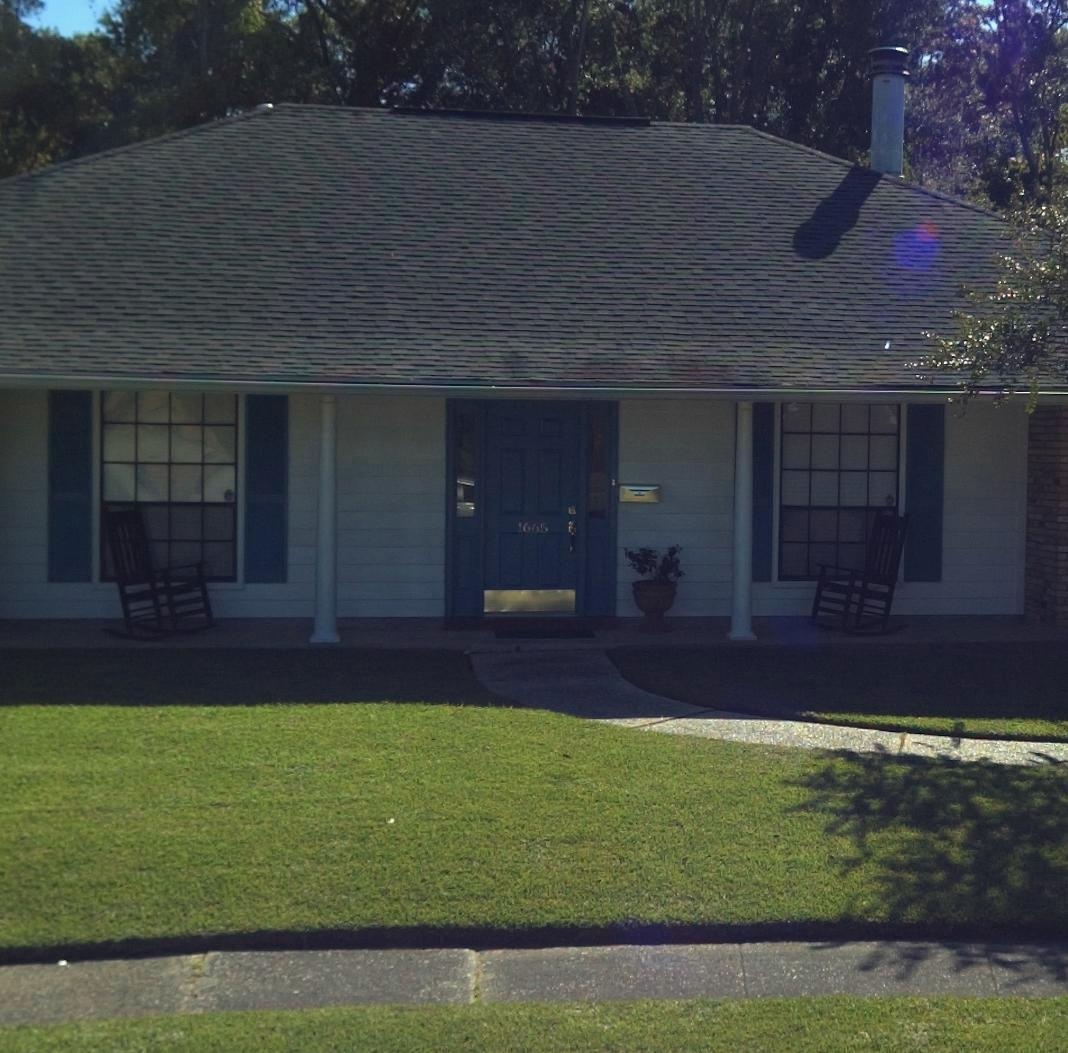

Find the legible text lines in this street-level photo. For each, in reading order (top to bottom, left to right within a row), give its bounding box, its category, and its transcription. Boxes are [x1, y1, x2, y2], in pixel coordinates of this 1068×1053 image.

[516, 520, 550, 535] StreetNumber: 1665